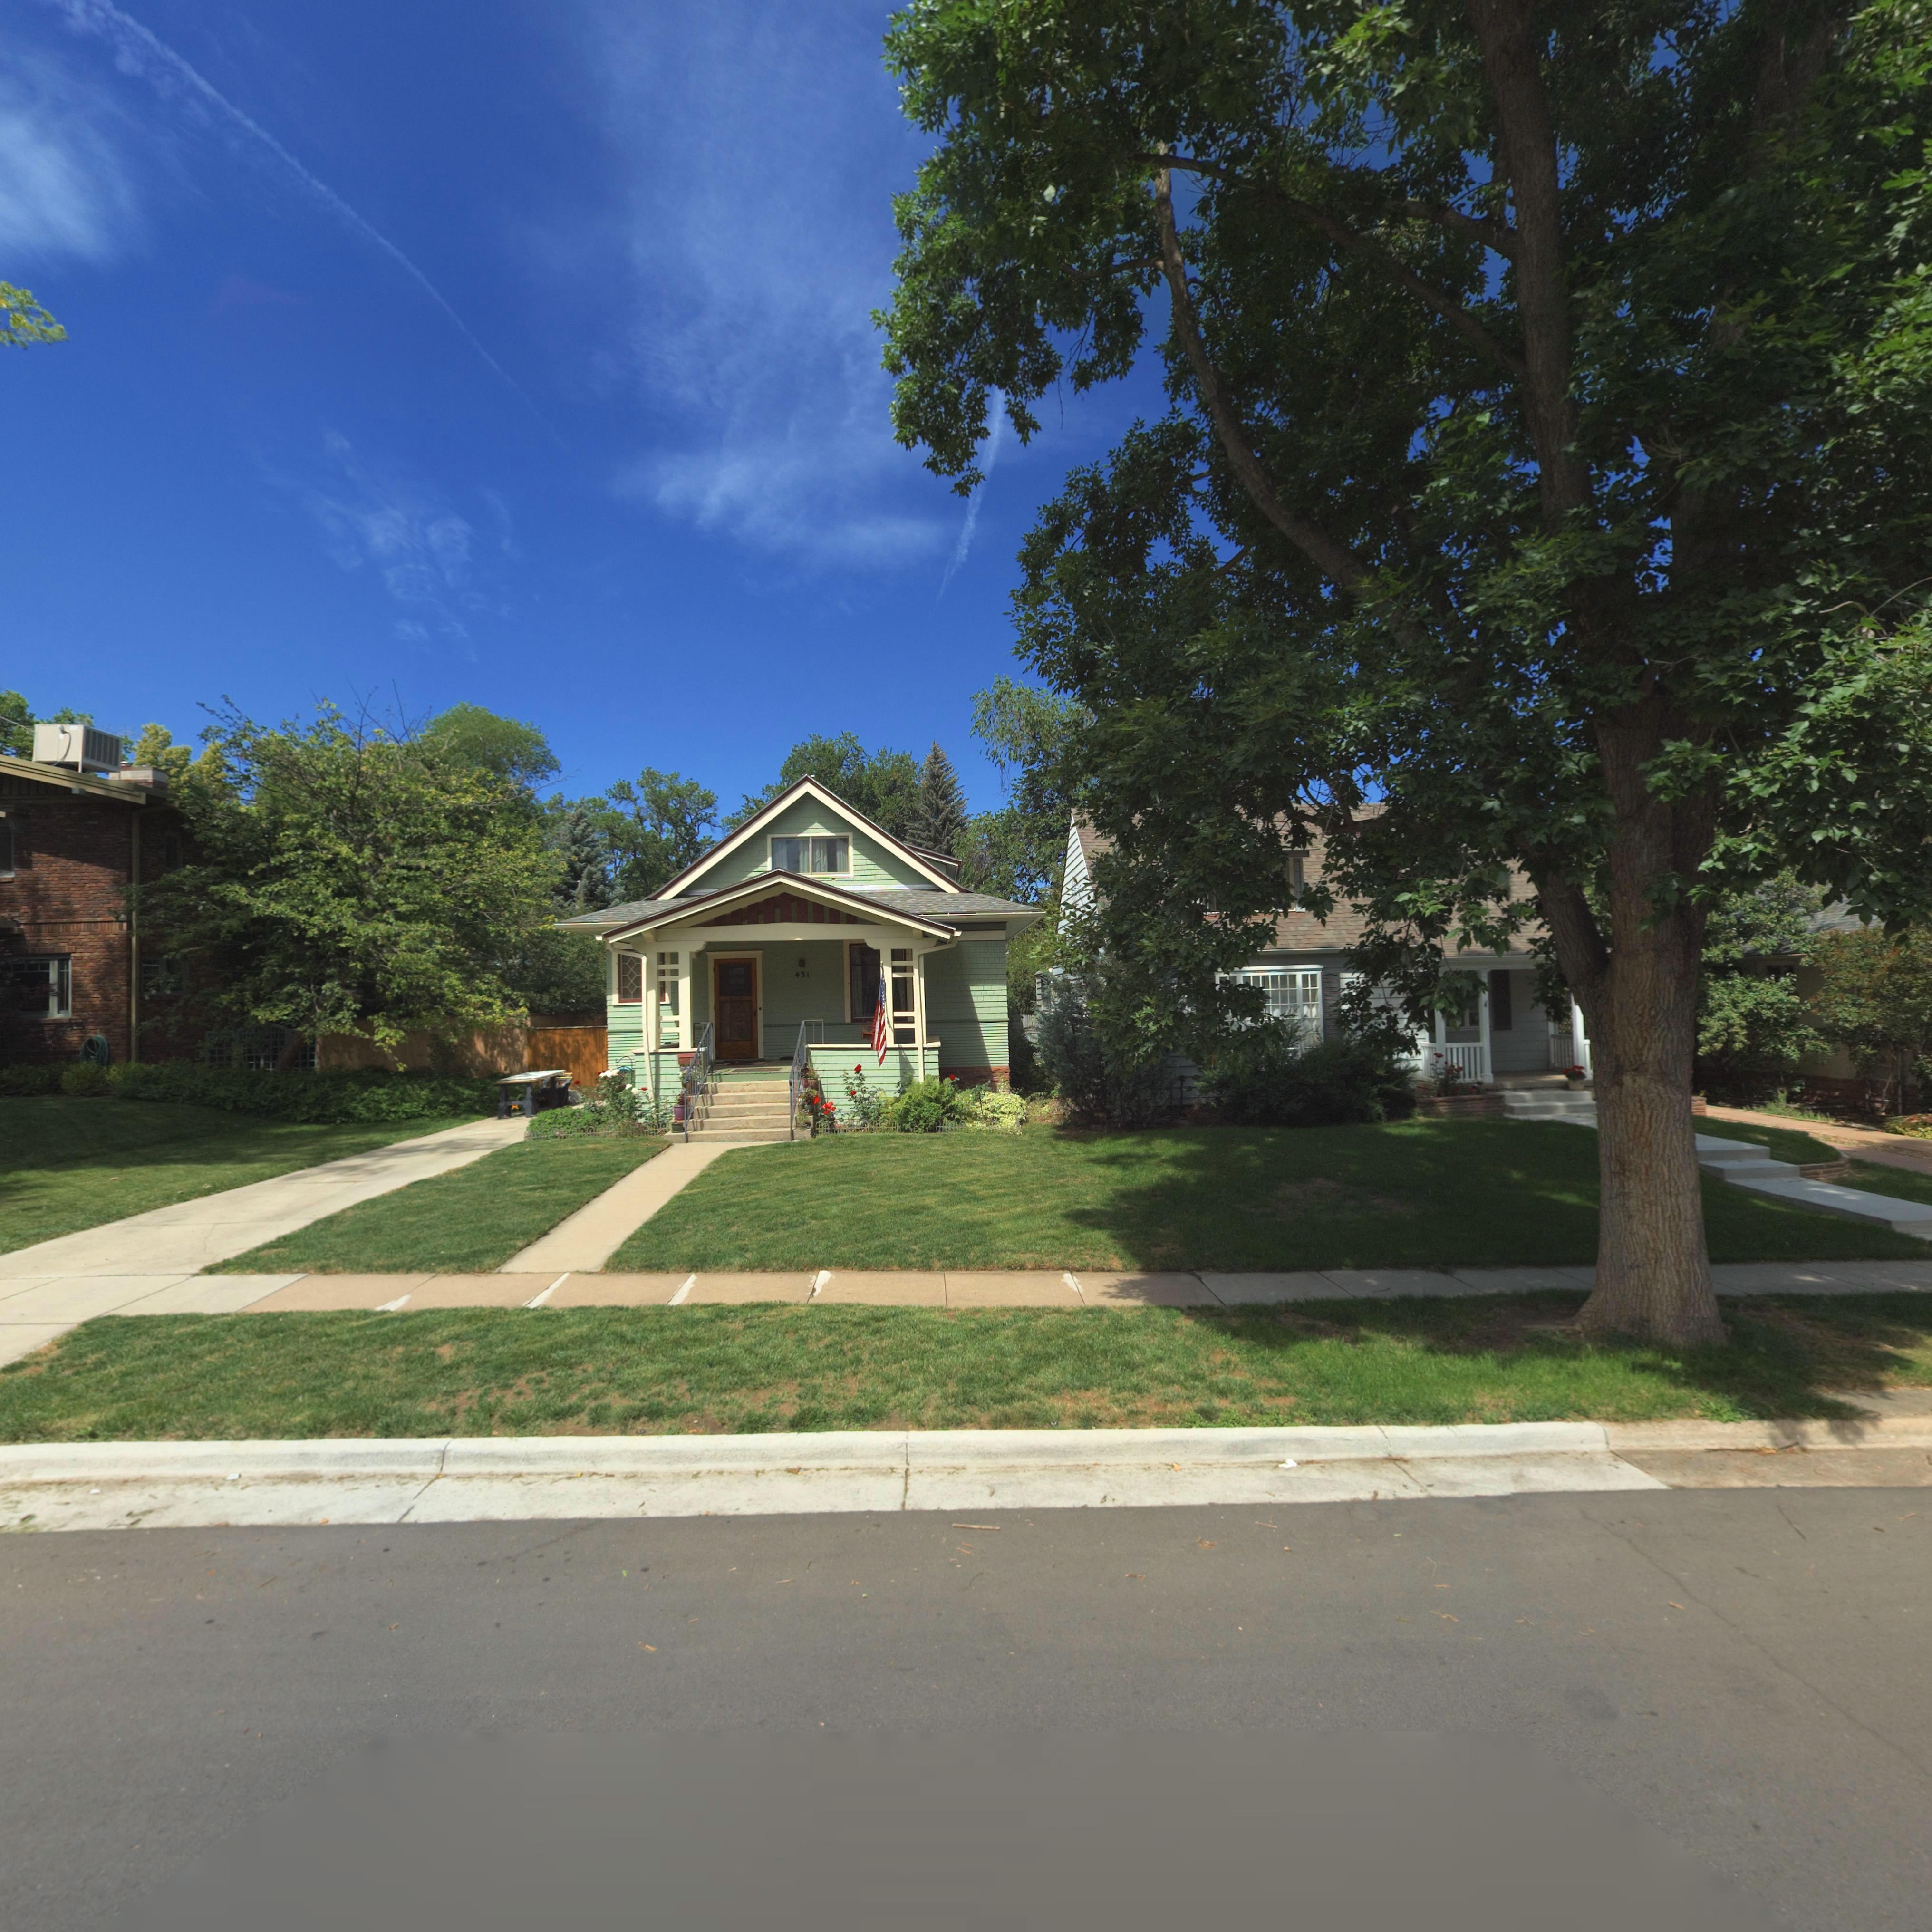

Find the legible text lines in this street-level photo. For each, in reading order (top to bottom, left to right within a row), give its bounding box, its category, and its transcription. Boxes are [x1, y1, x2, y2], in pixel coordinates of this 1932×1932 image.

[794, 970, 809, 977] StreetNumber: 431